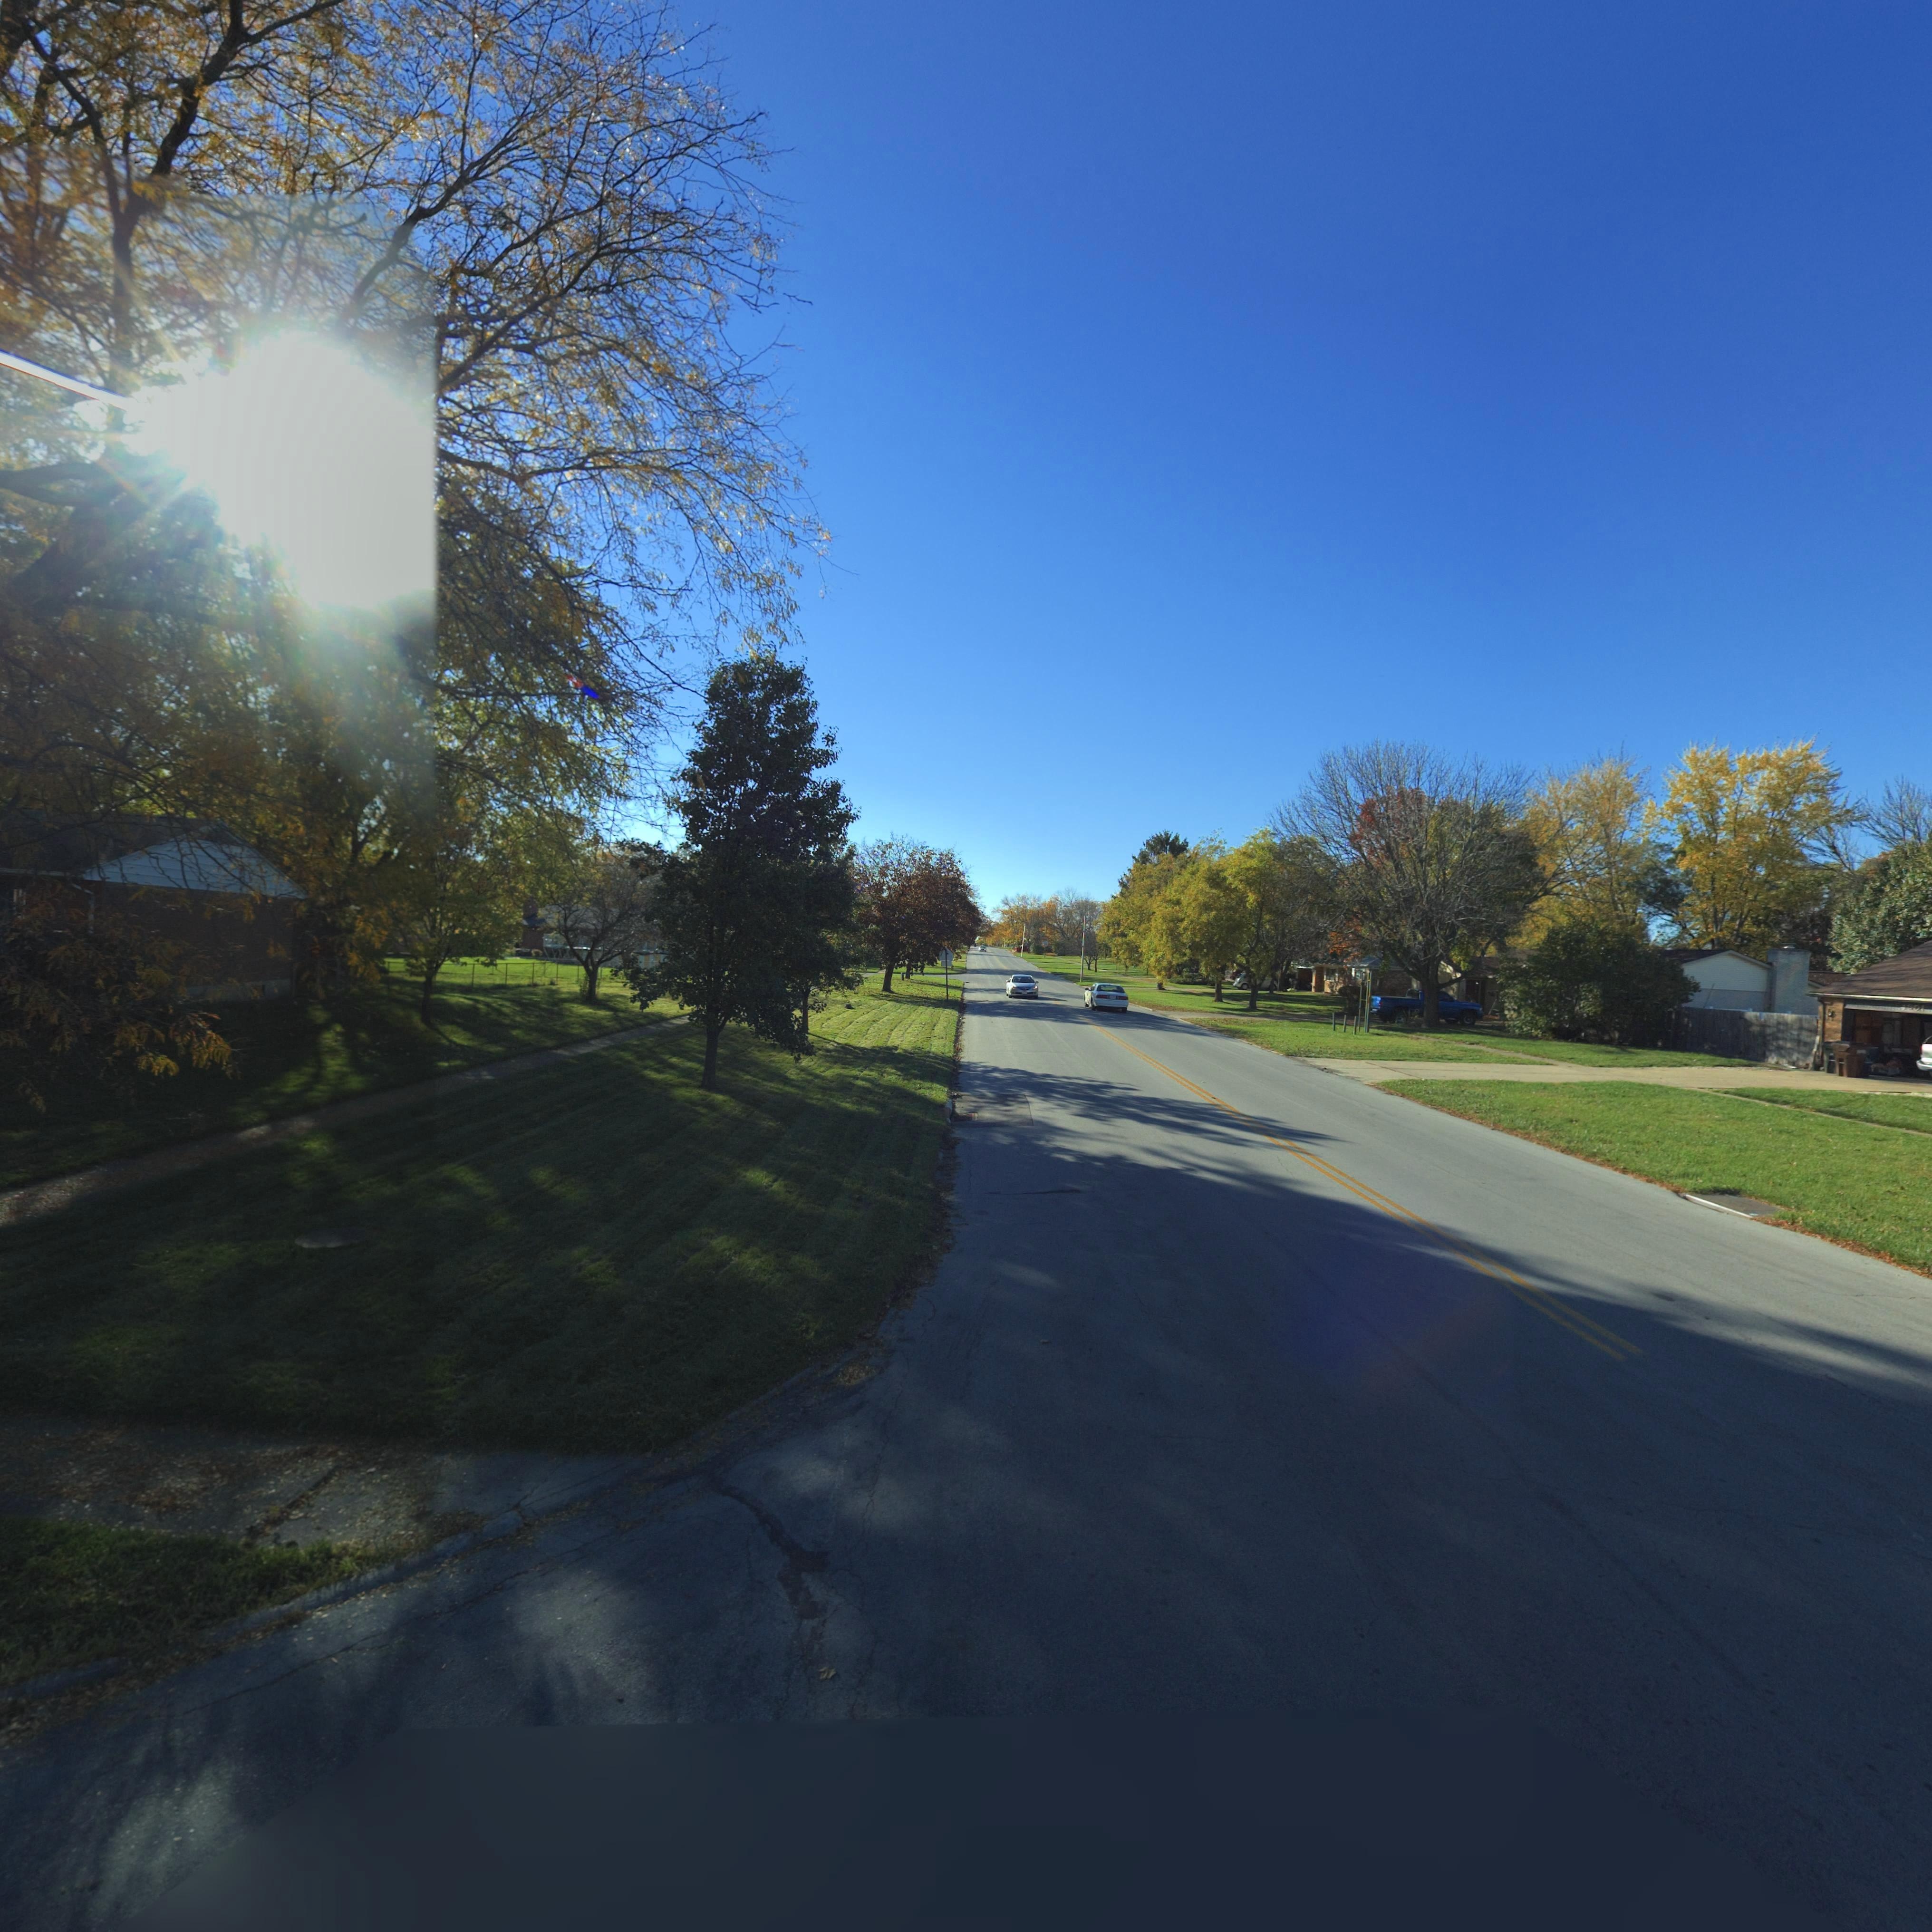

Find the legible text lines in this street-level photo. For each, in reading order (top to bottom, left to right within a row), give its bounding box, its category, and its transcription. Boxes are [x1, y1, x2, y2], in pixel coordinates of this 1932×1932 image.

[1900, 1003, 1925, 1012] StreetNumber: 4501